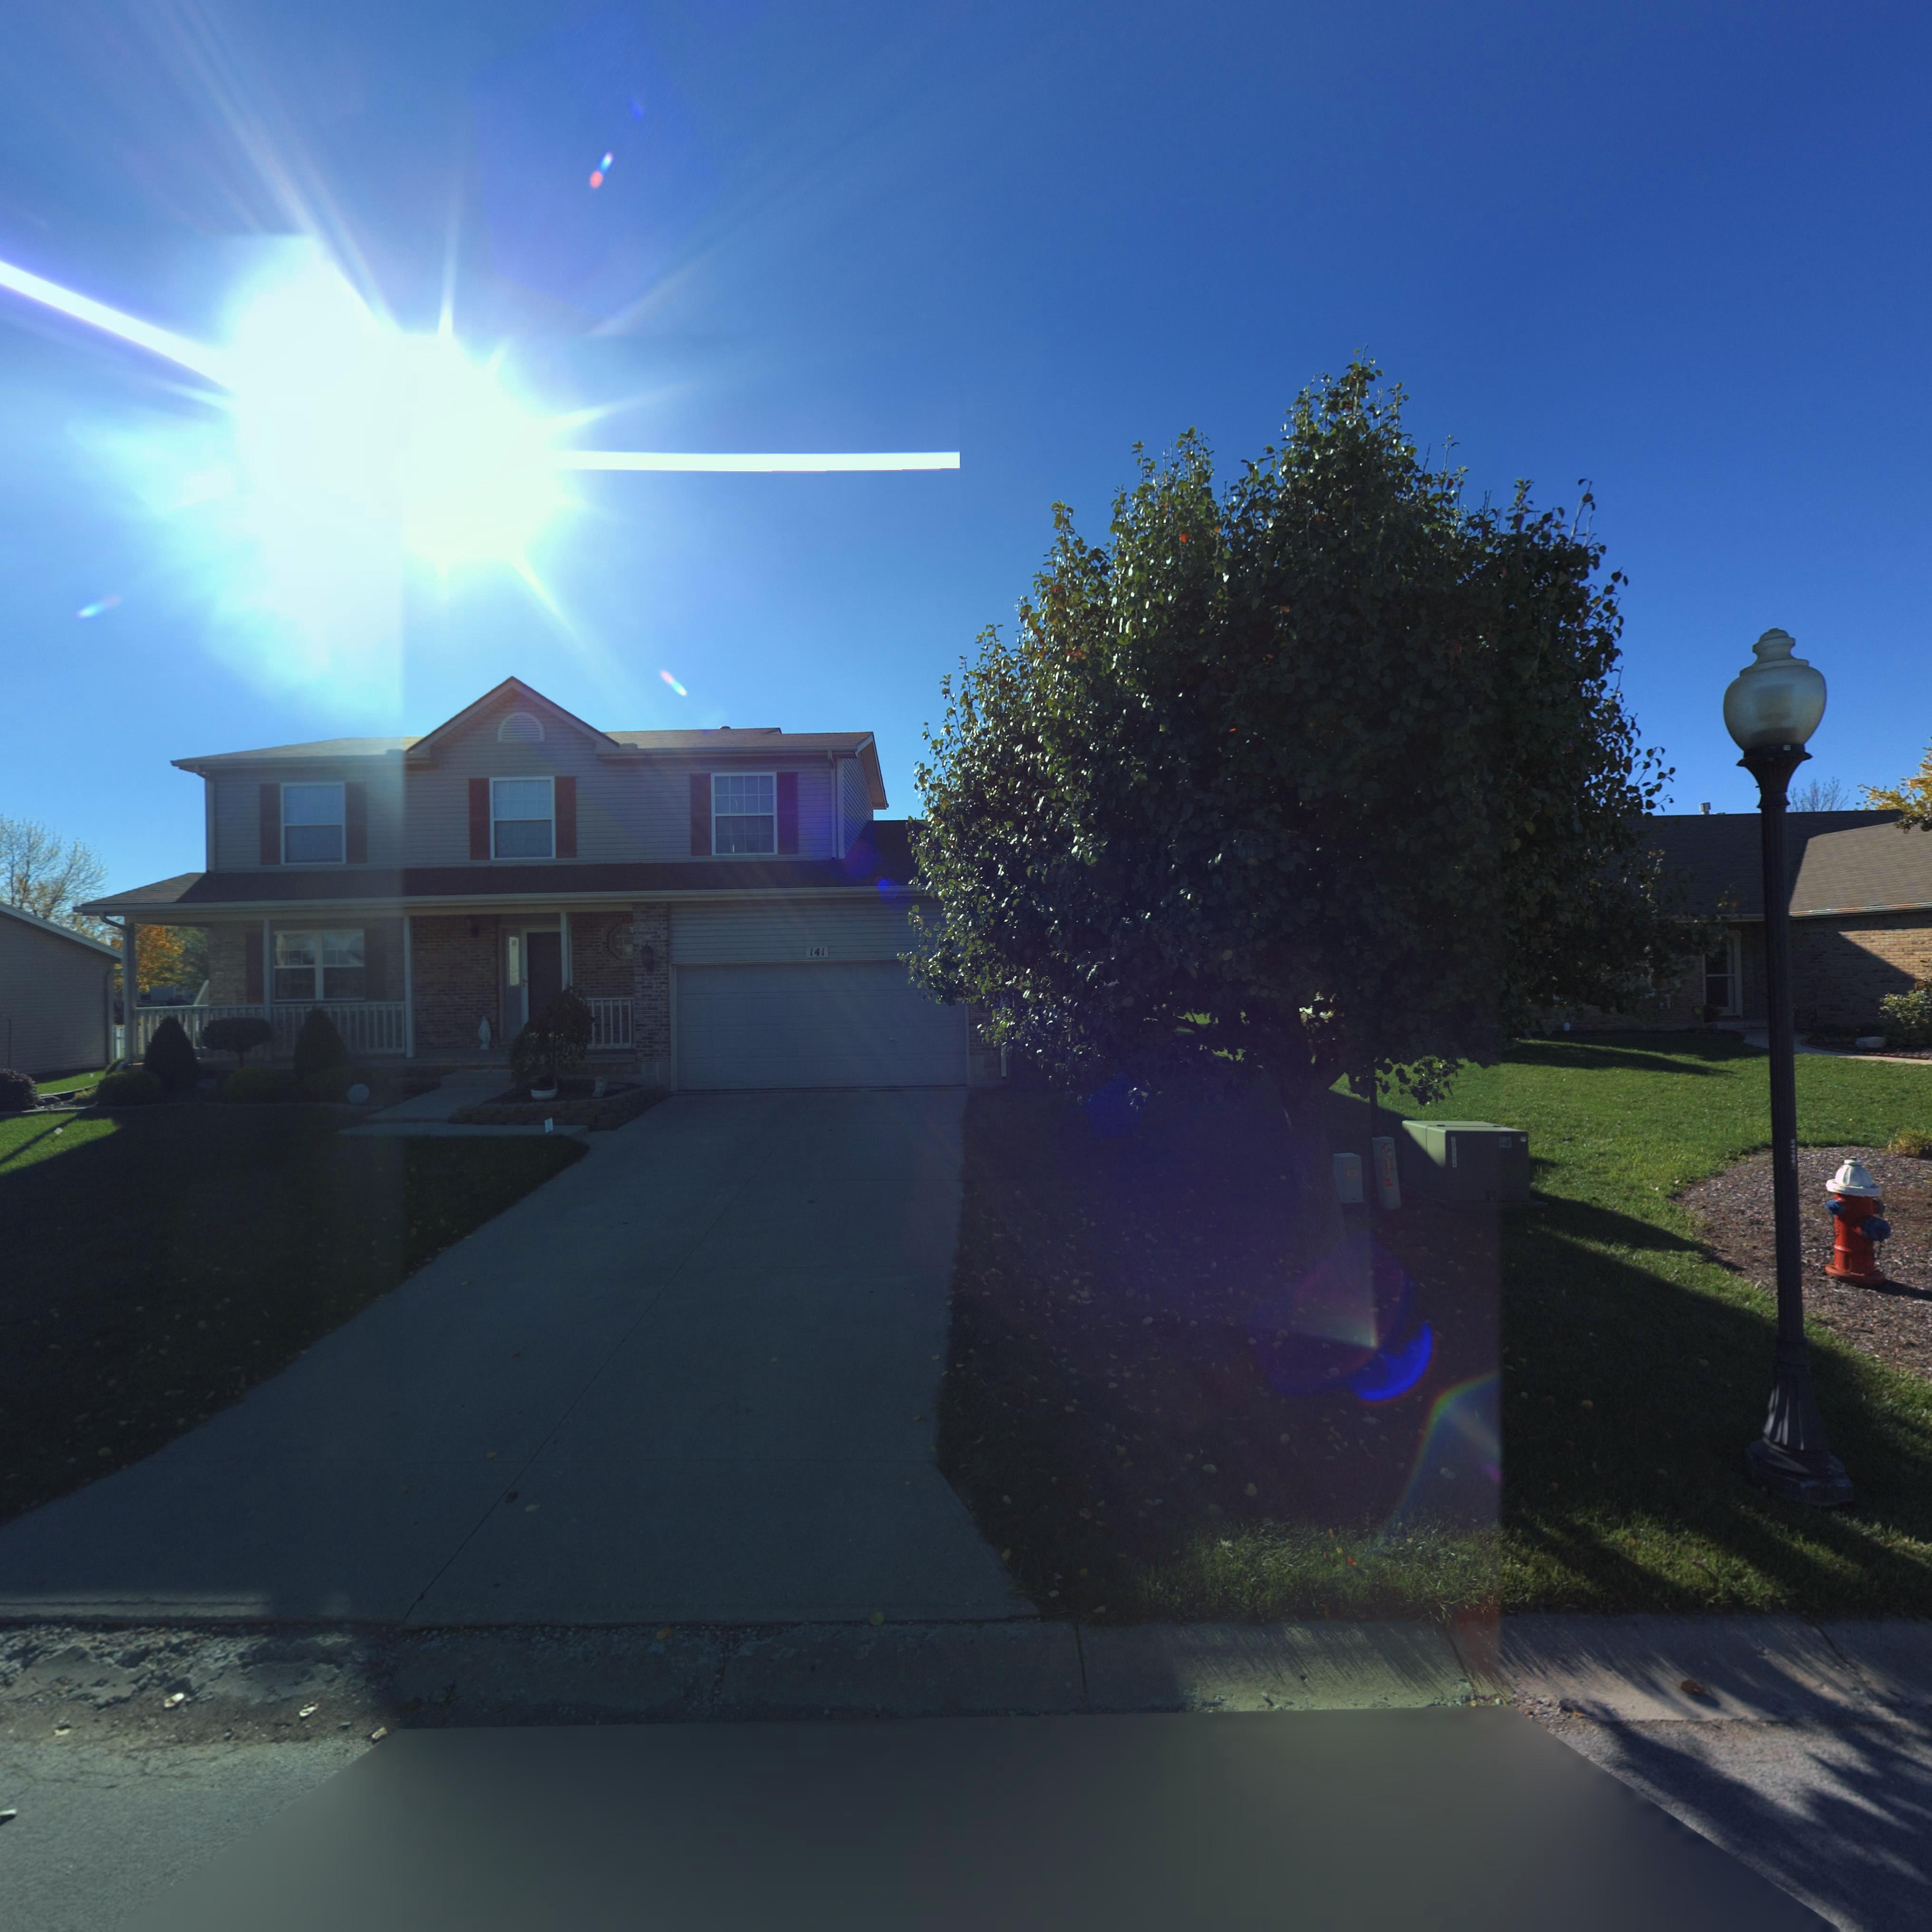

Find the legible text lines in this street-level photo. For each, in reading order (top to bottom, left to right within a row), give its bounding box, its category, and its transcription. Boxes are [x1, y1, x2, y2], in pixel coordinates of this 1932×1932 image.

[808, 947, 826, 956] StreetNumber: 141